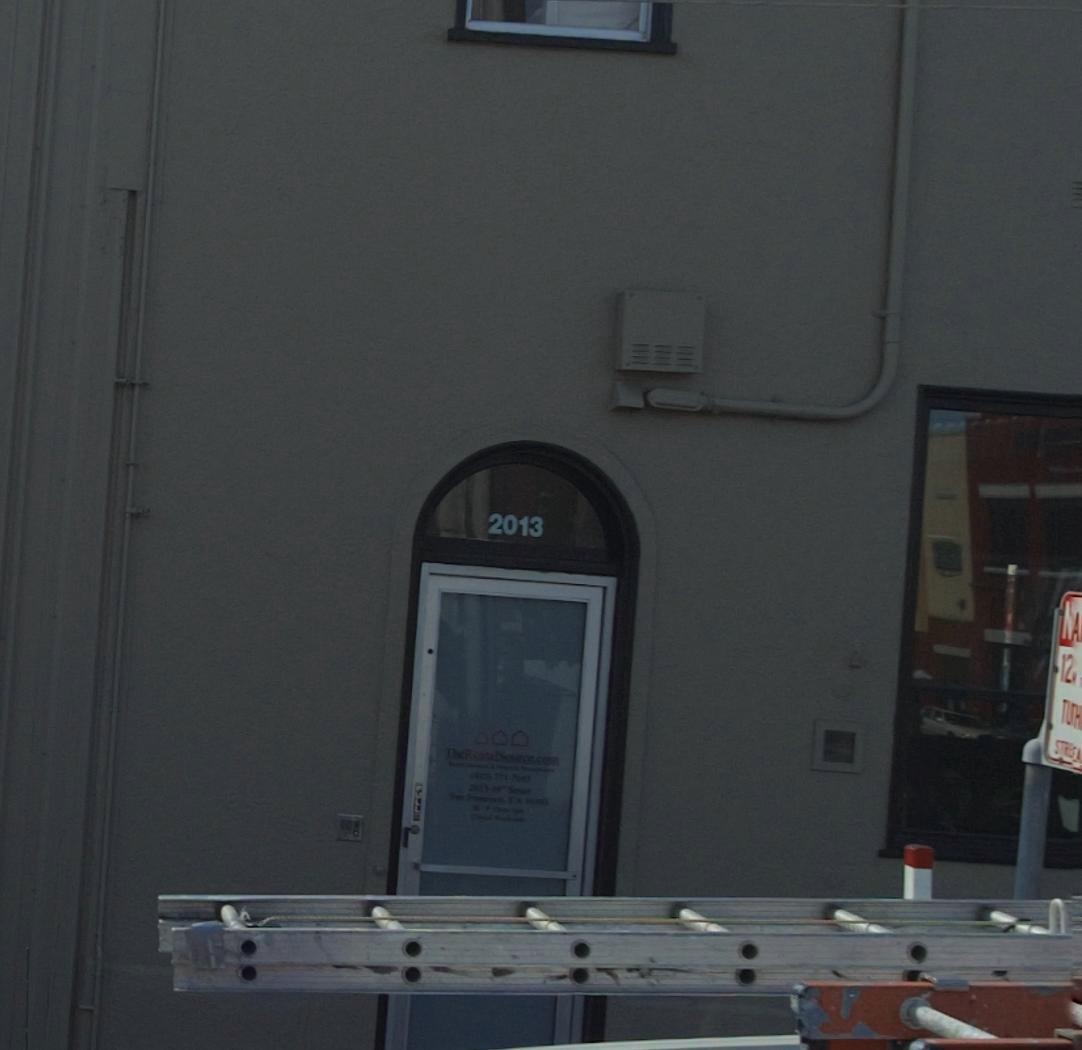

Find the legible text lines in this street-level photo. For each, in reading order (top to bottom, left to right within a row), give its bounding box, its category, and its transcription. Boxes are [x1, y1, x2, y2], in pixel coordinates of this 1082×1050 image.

[483, 508, 549, 541] StreetNumber: 2013
[1057, 650, 1079, 689] None: 12
[412, 782, 426, 815] None: PULL